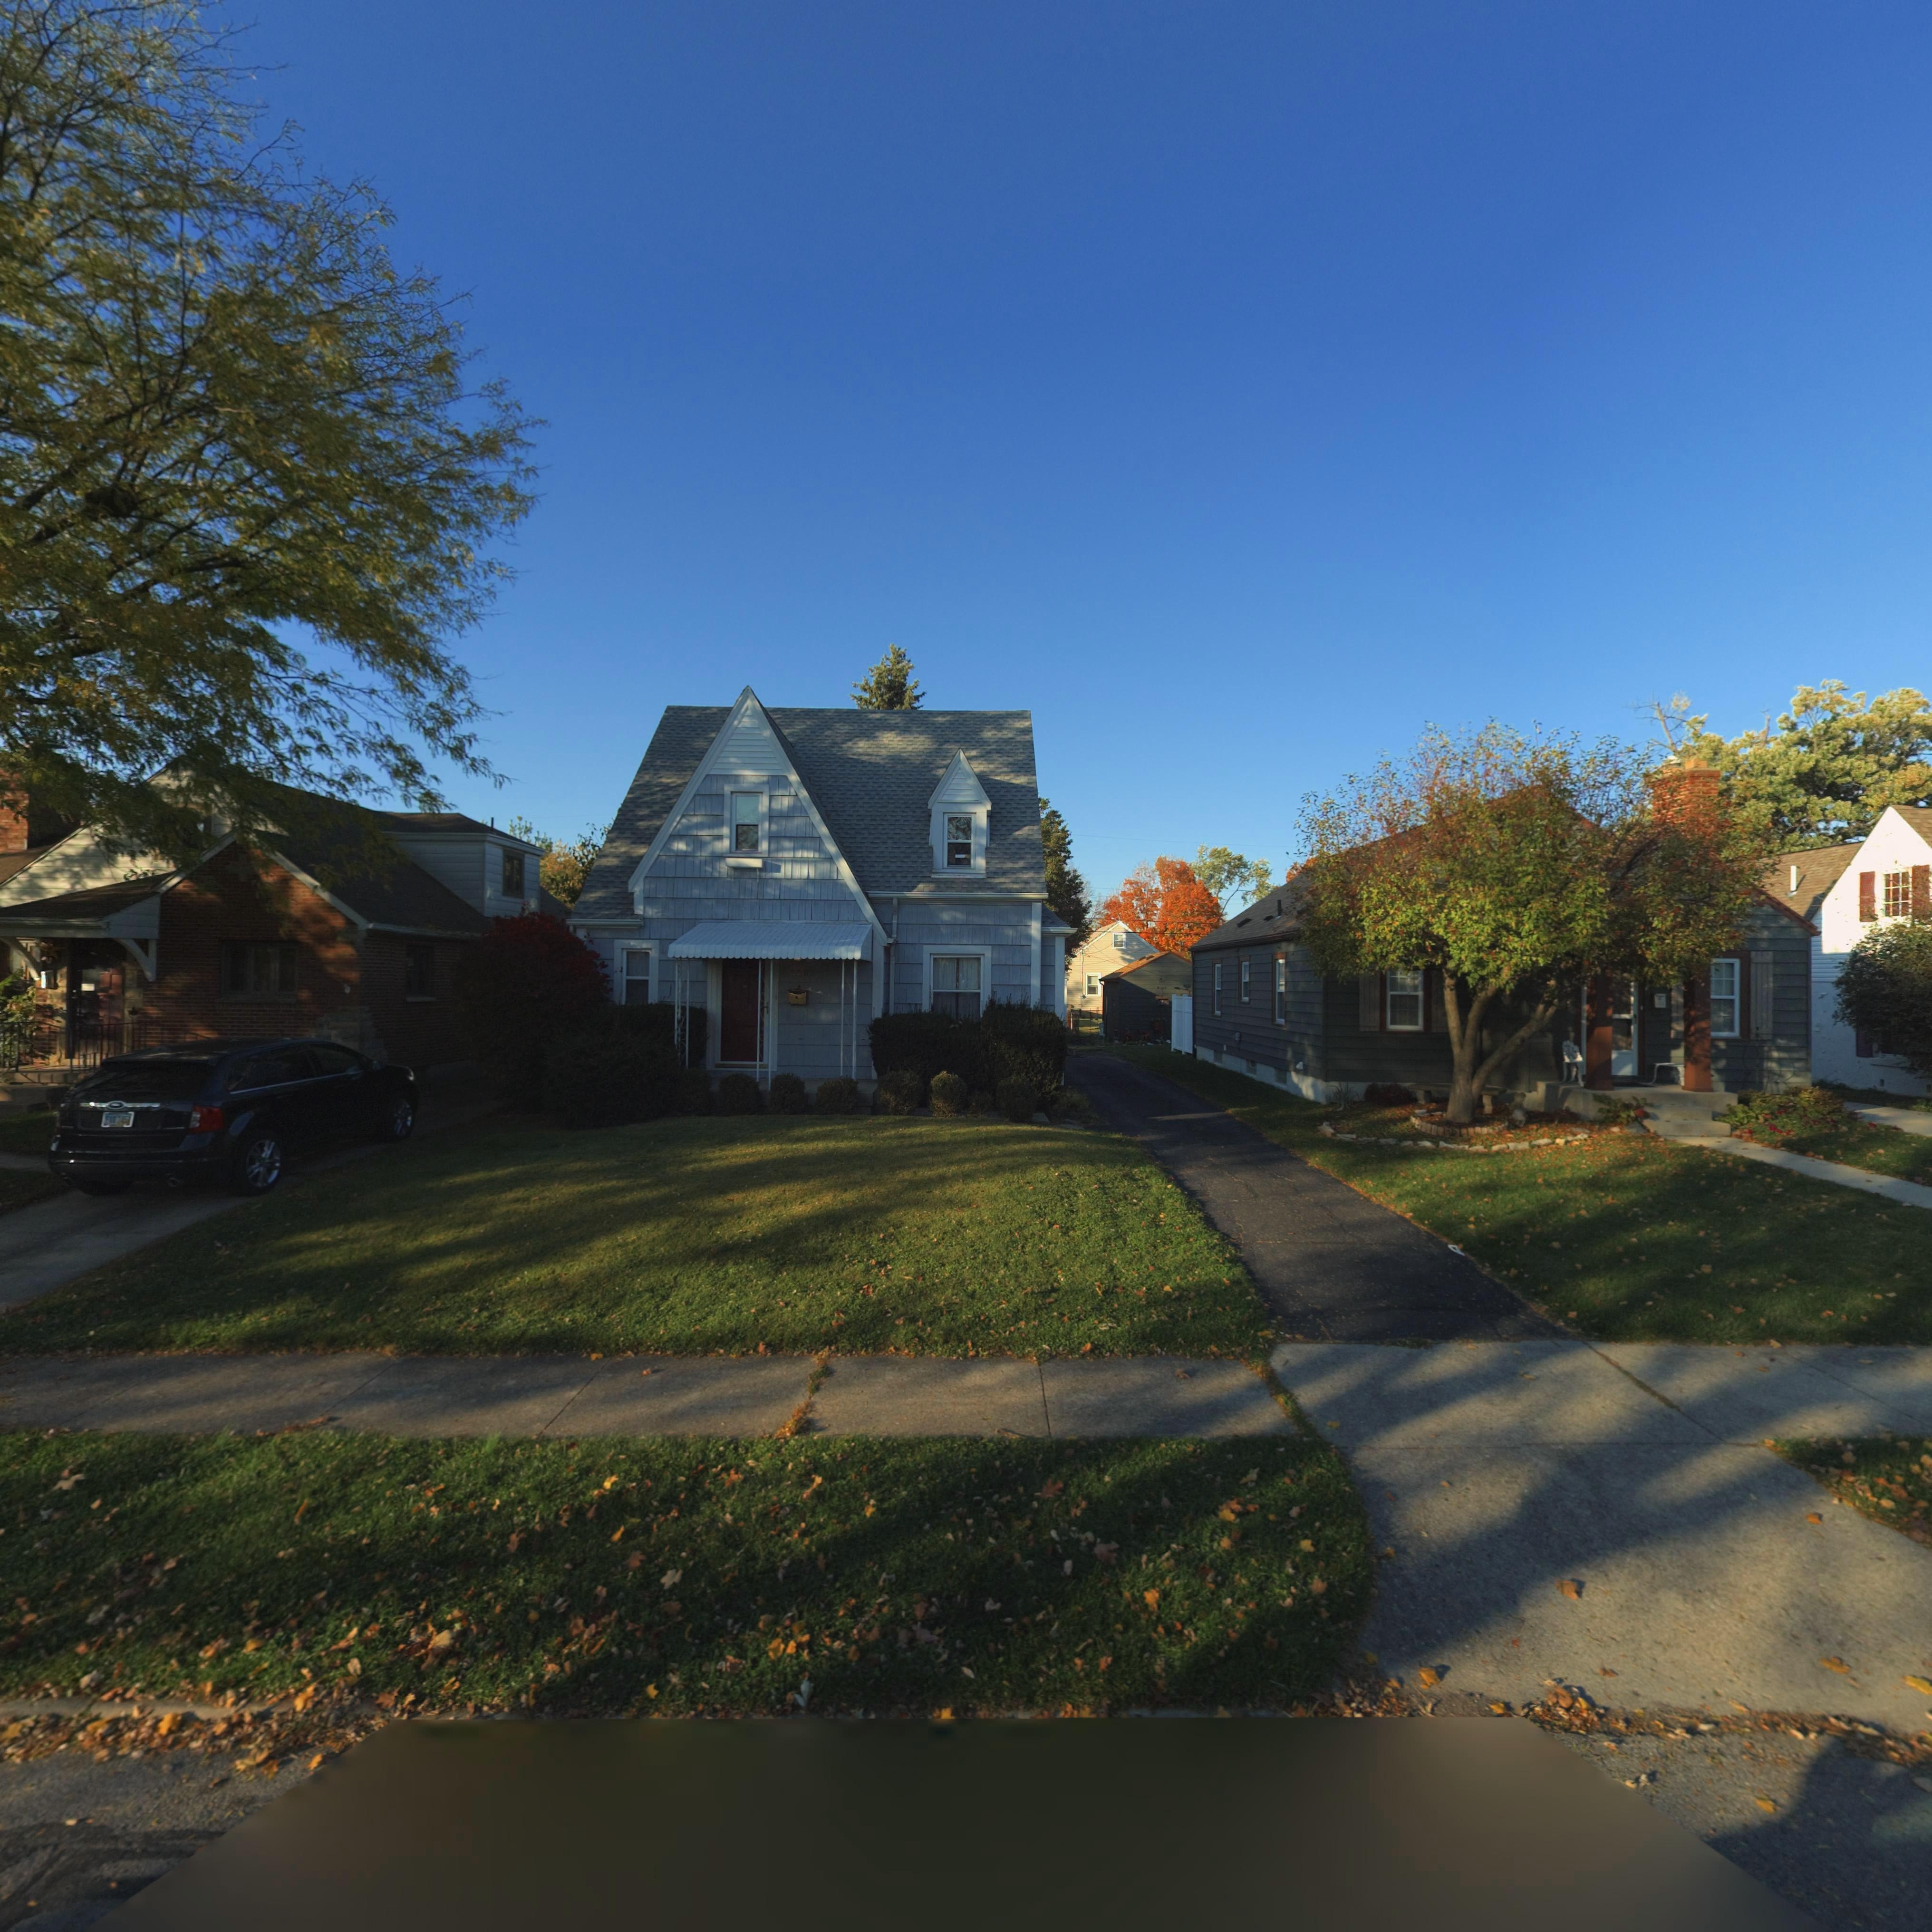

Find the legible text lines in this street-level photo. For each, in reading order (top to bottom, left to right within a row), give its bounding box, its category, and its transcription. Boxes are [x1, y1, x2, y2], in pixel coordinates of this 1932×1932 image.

[789, 968, 809, 977] StreetNumber: 325